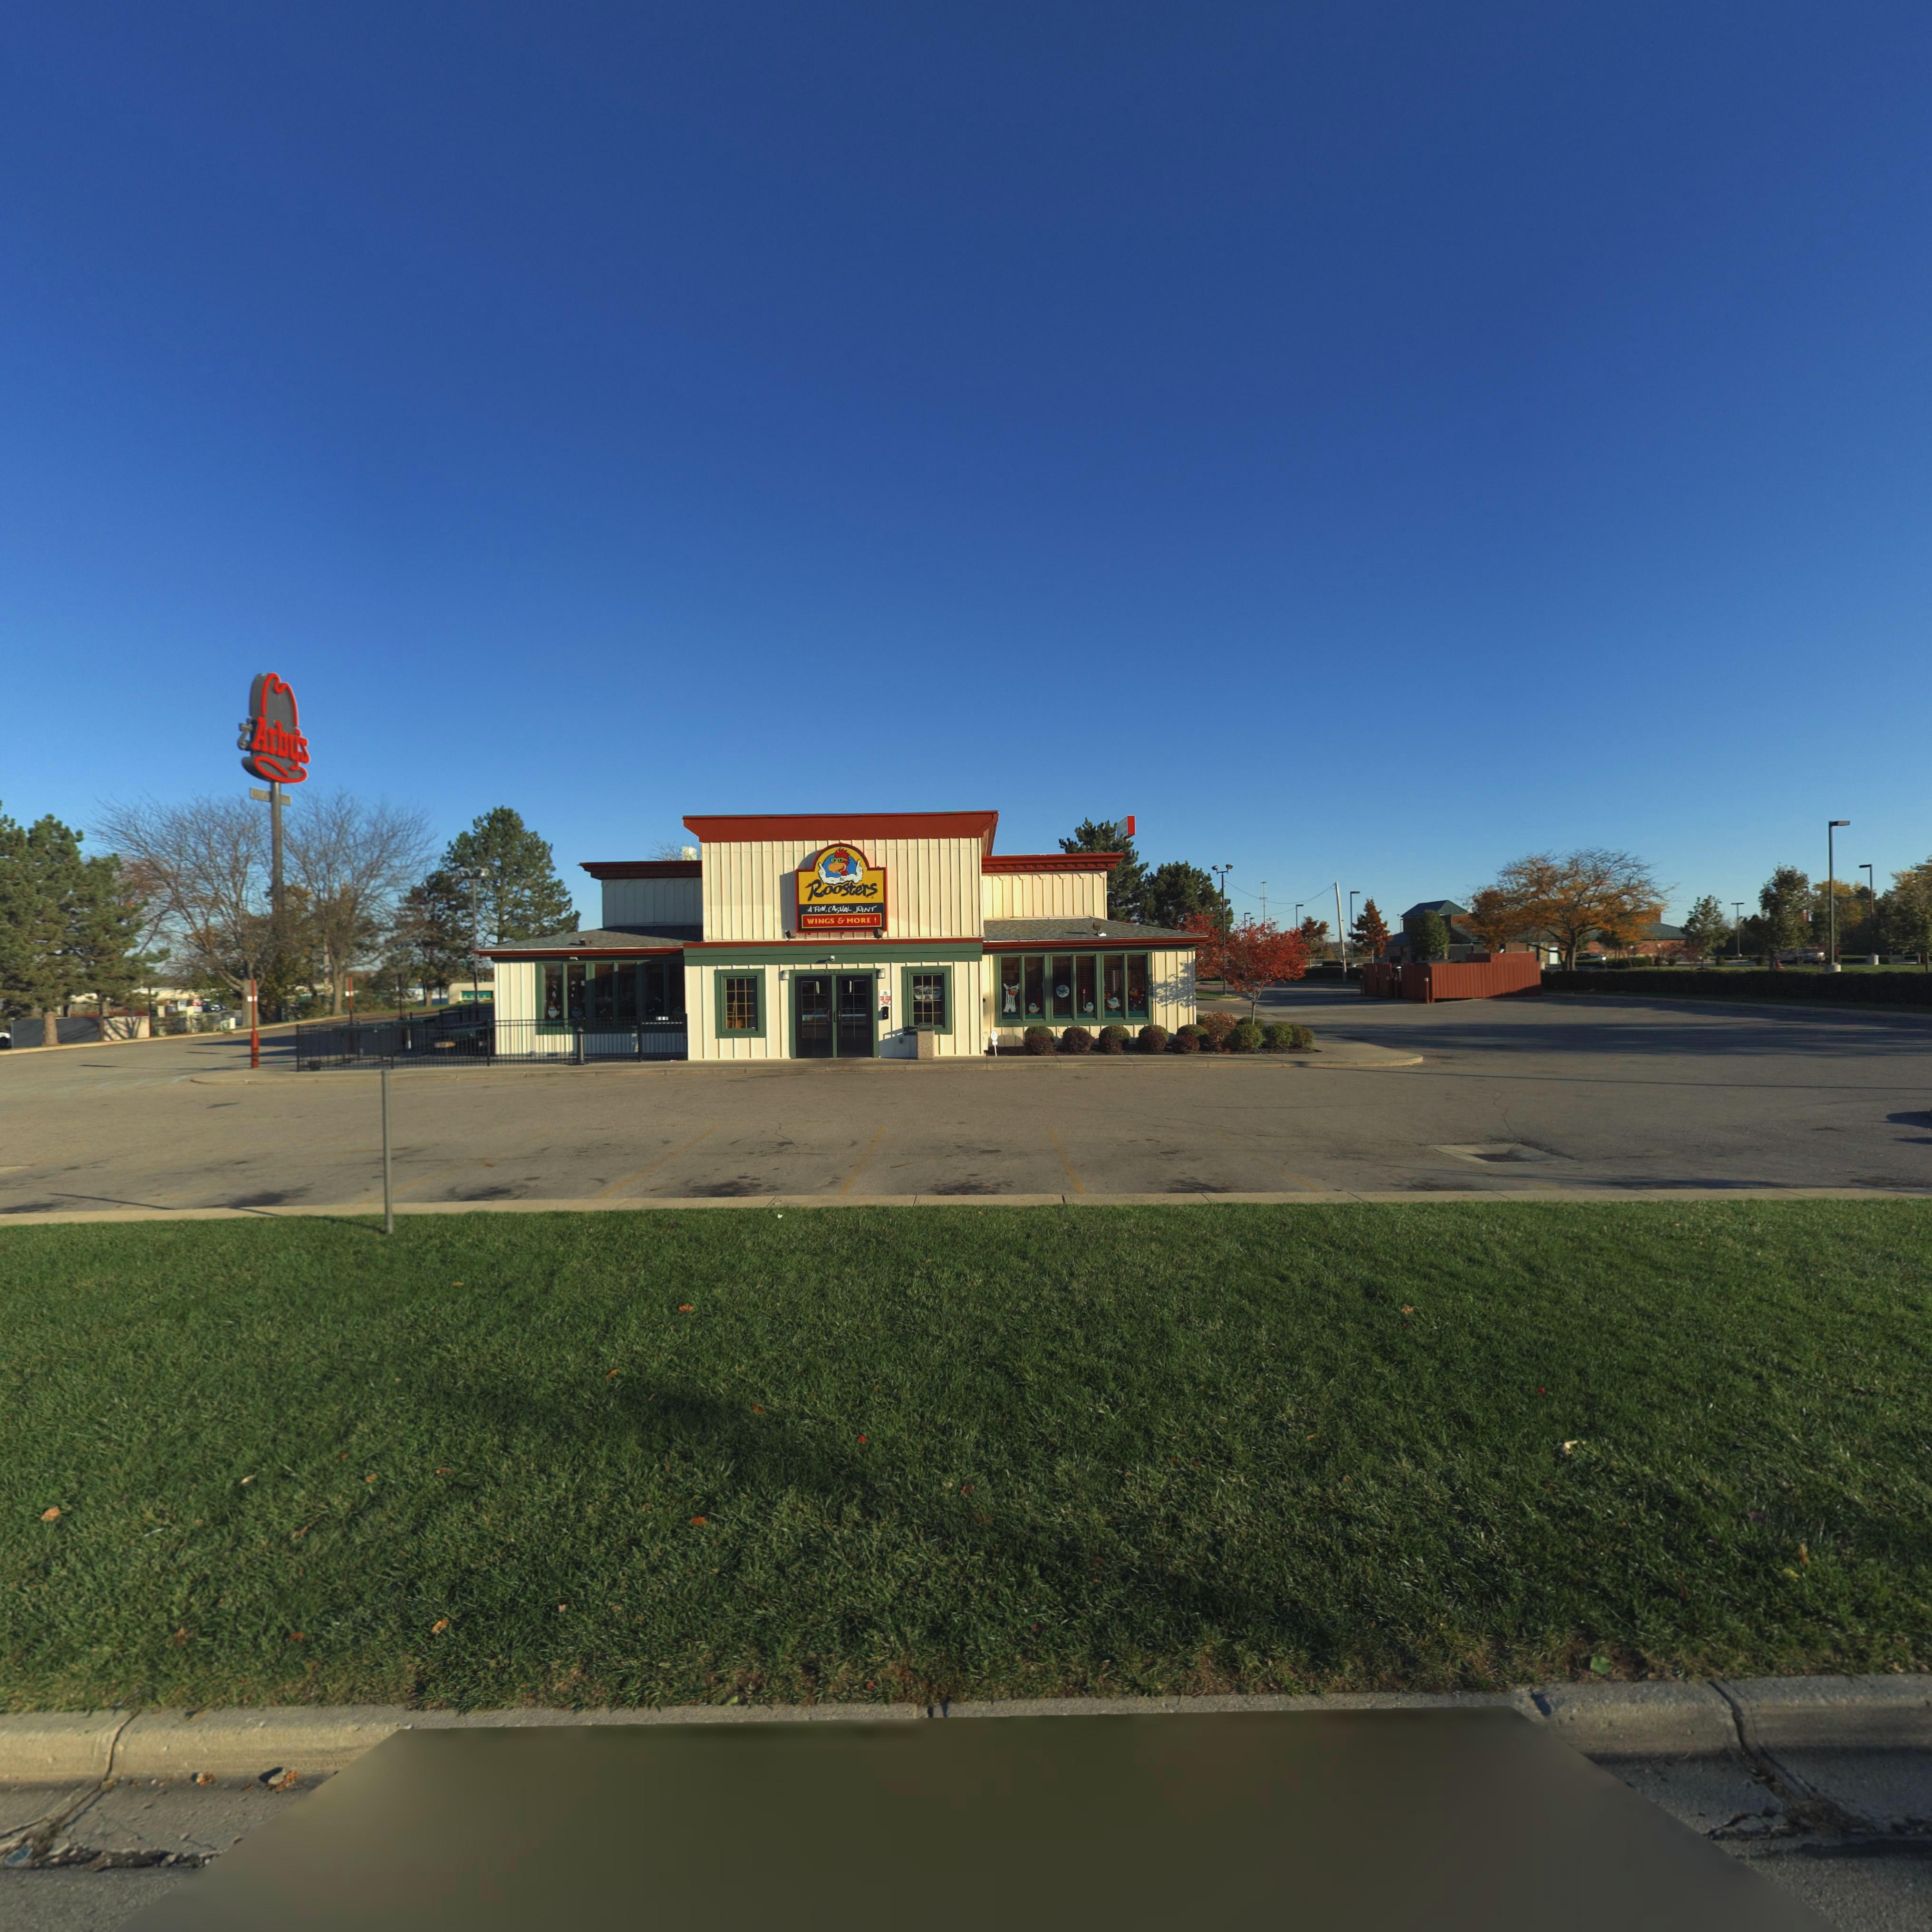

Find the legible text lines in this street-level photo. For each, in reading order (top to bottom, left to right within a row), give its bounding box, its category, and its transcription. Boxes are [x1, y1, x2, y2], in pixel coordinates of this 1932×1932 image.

[250, 714, 311, 772] BusinessName: Arby's
[803, 878, 879, 902] BusinessName: Roosters
[822, 968, 841, 976] StreetNumber: 5571